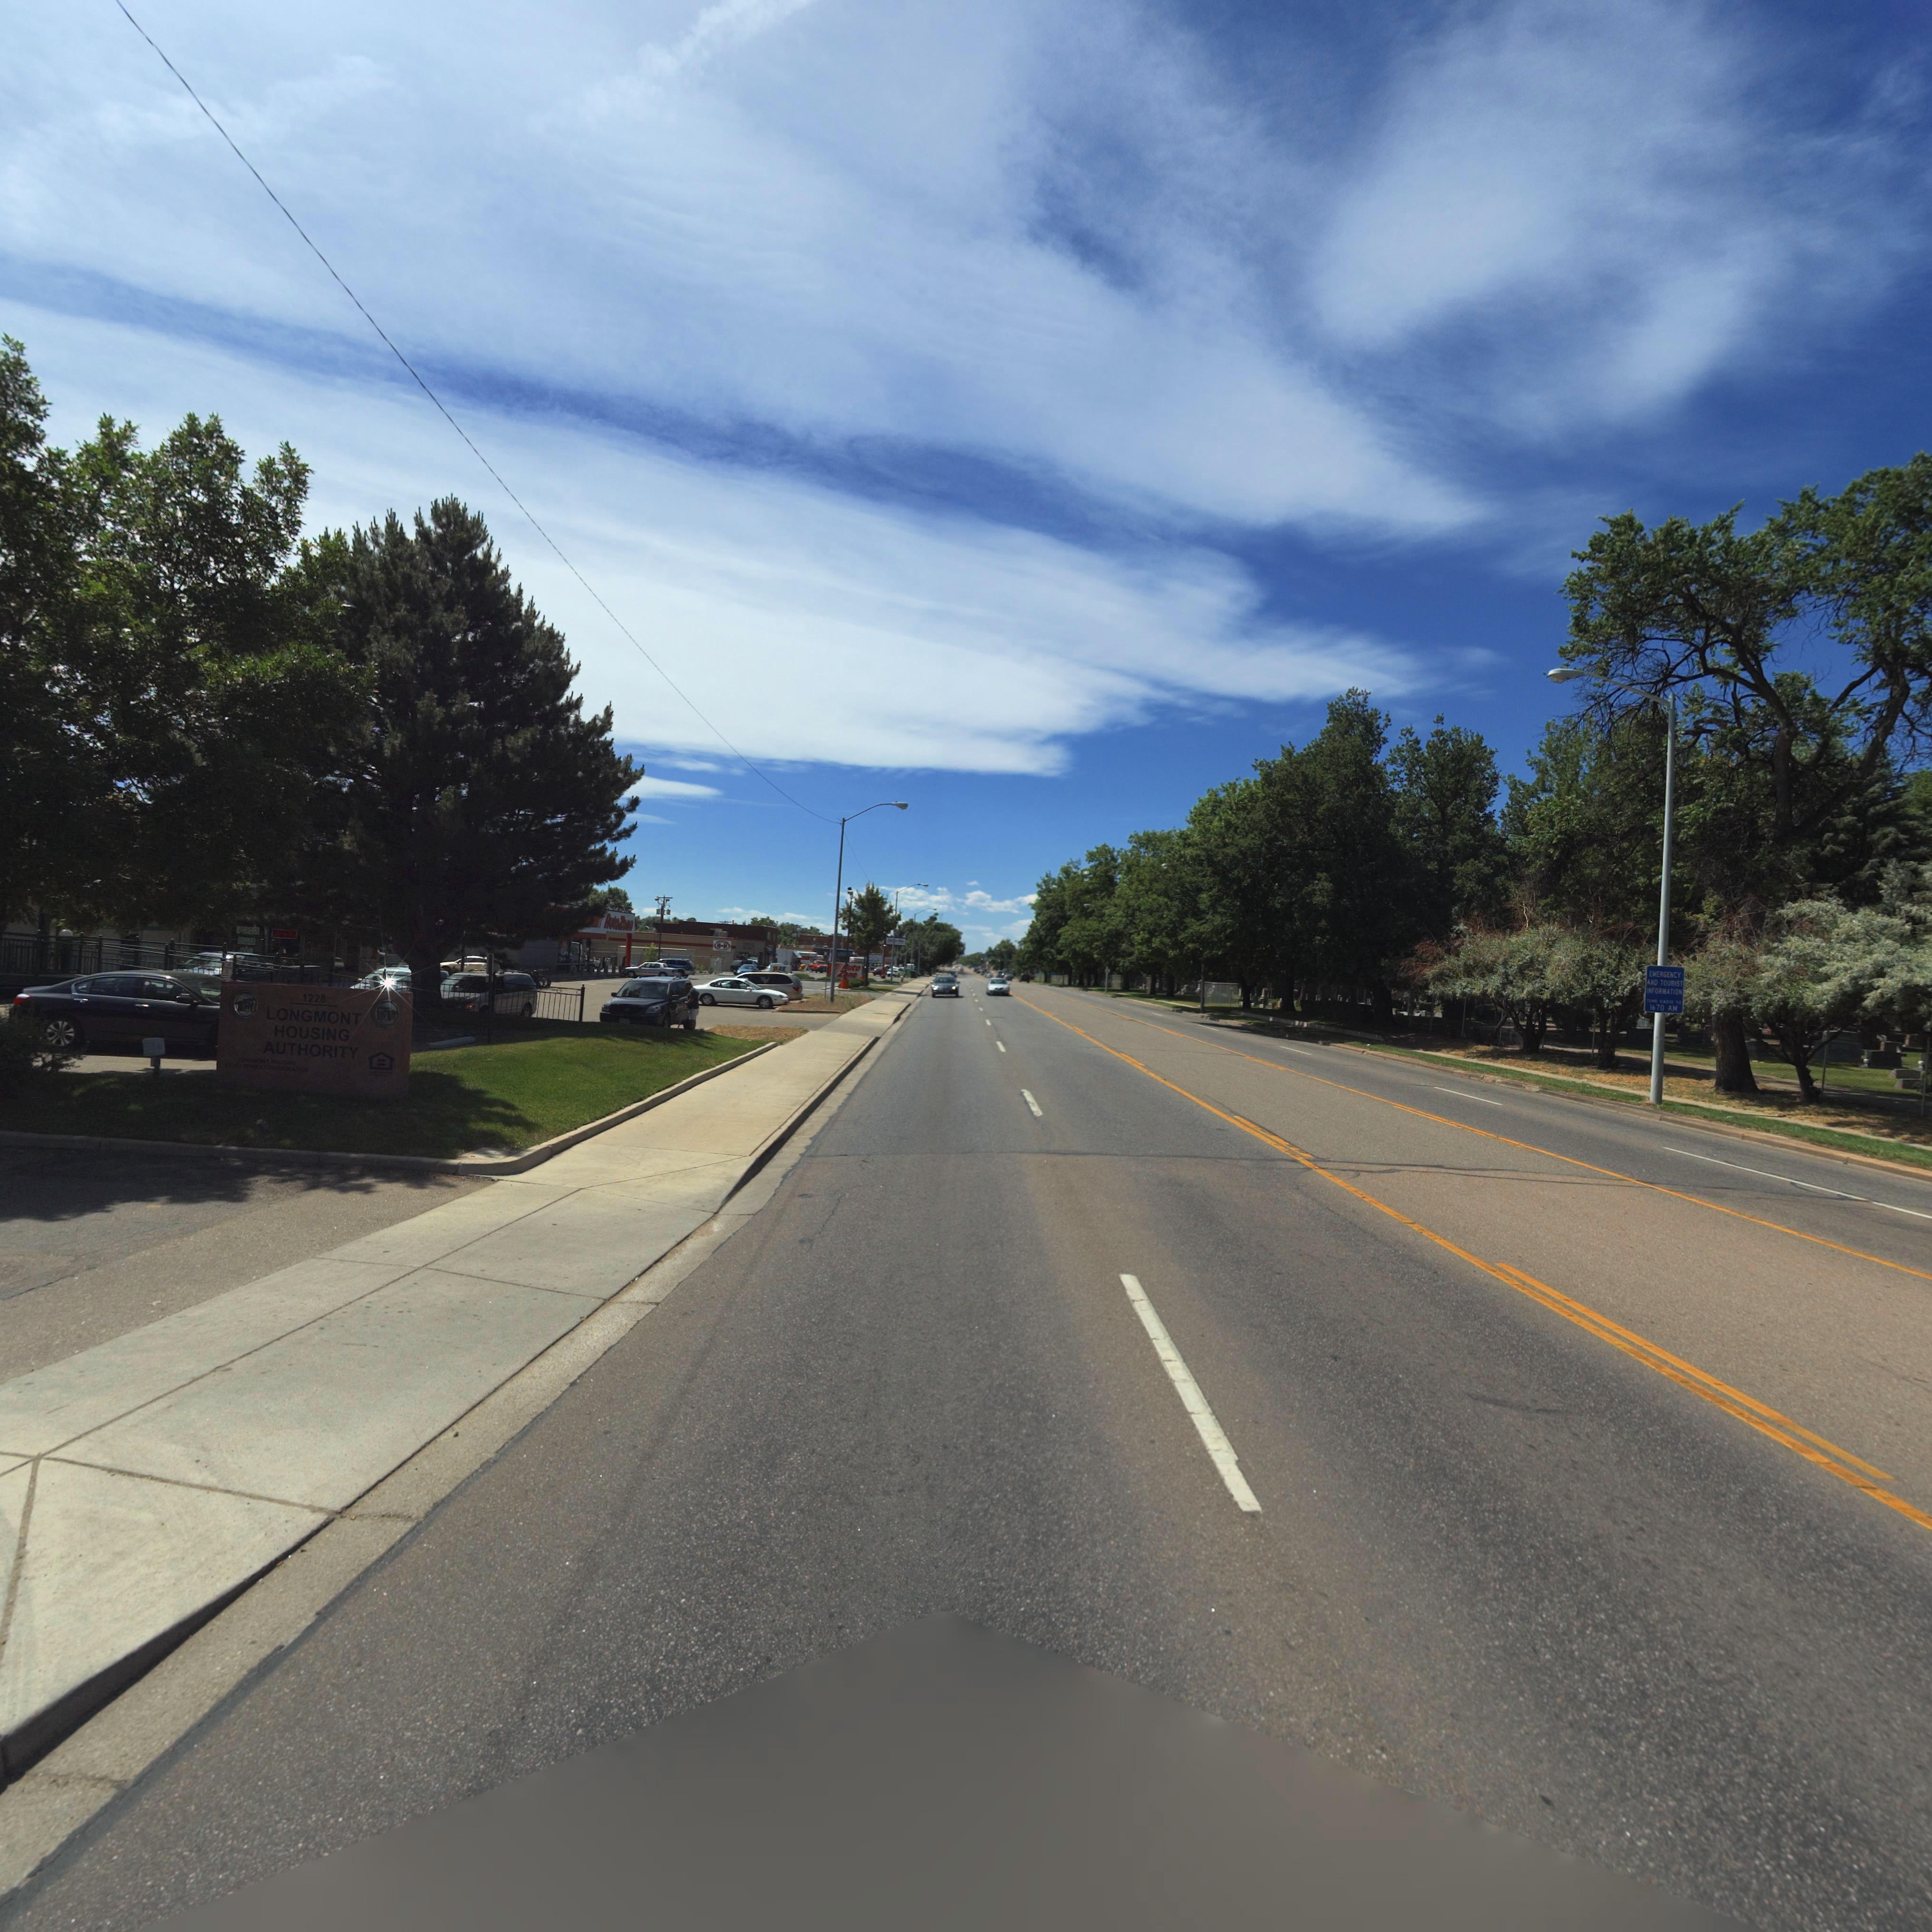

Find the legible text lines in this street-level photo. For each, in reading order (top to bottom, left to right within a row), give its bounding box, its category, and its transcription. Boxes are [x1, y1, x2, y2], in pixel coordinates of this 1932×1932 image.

[603, 912, 633, 931] BusinessName: AutoZo**
[717, 943, 727, 948] BusinessName: B*H
[836, 970, 857, 978] BusinessName: Z*ne
[841, 963, 860, 971] BusinessName: *uto
[302, 993, 326, 1003] StreetNumber: 1228
[266, 1006, 362, 1025] BusinessName: LONGMONT
[274, 1024, 350, 1042] BusinessName: HOUSING
[262, 1041, 359, 1060] BusinessName: AUTHORITY